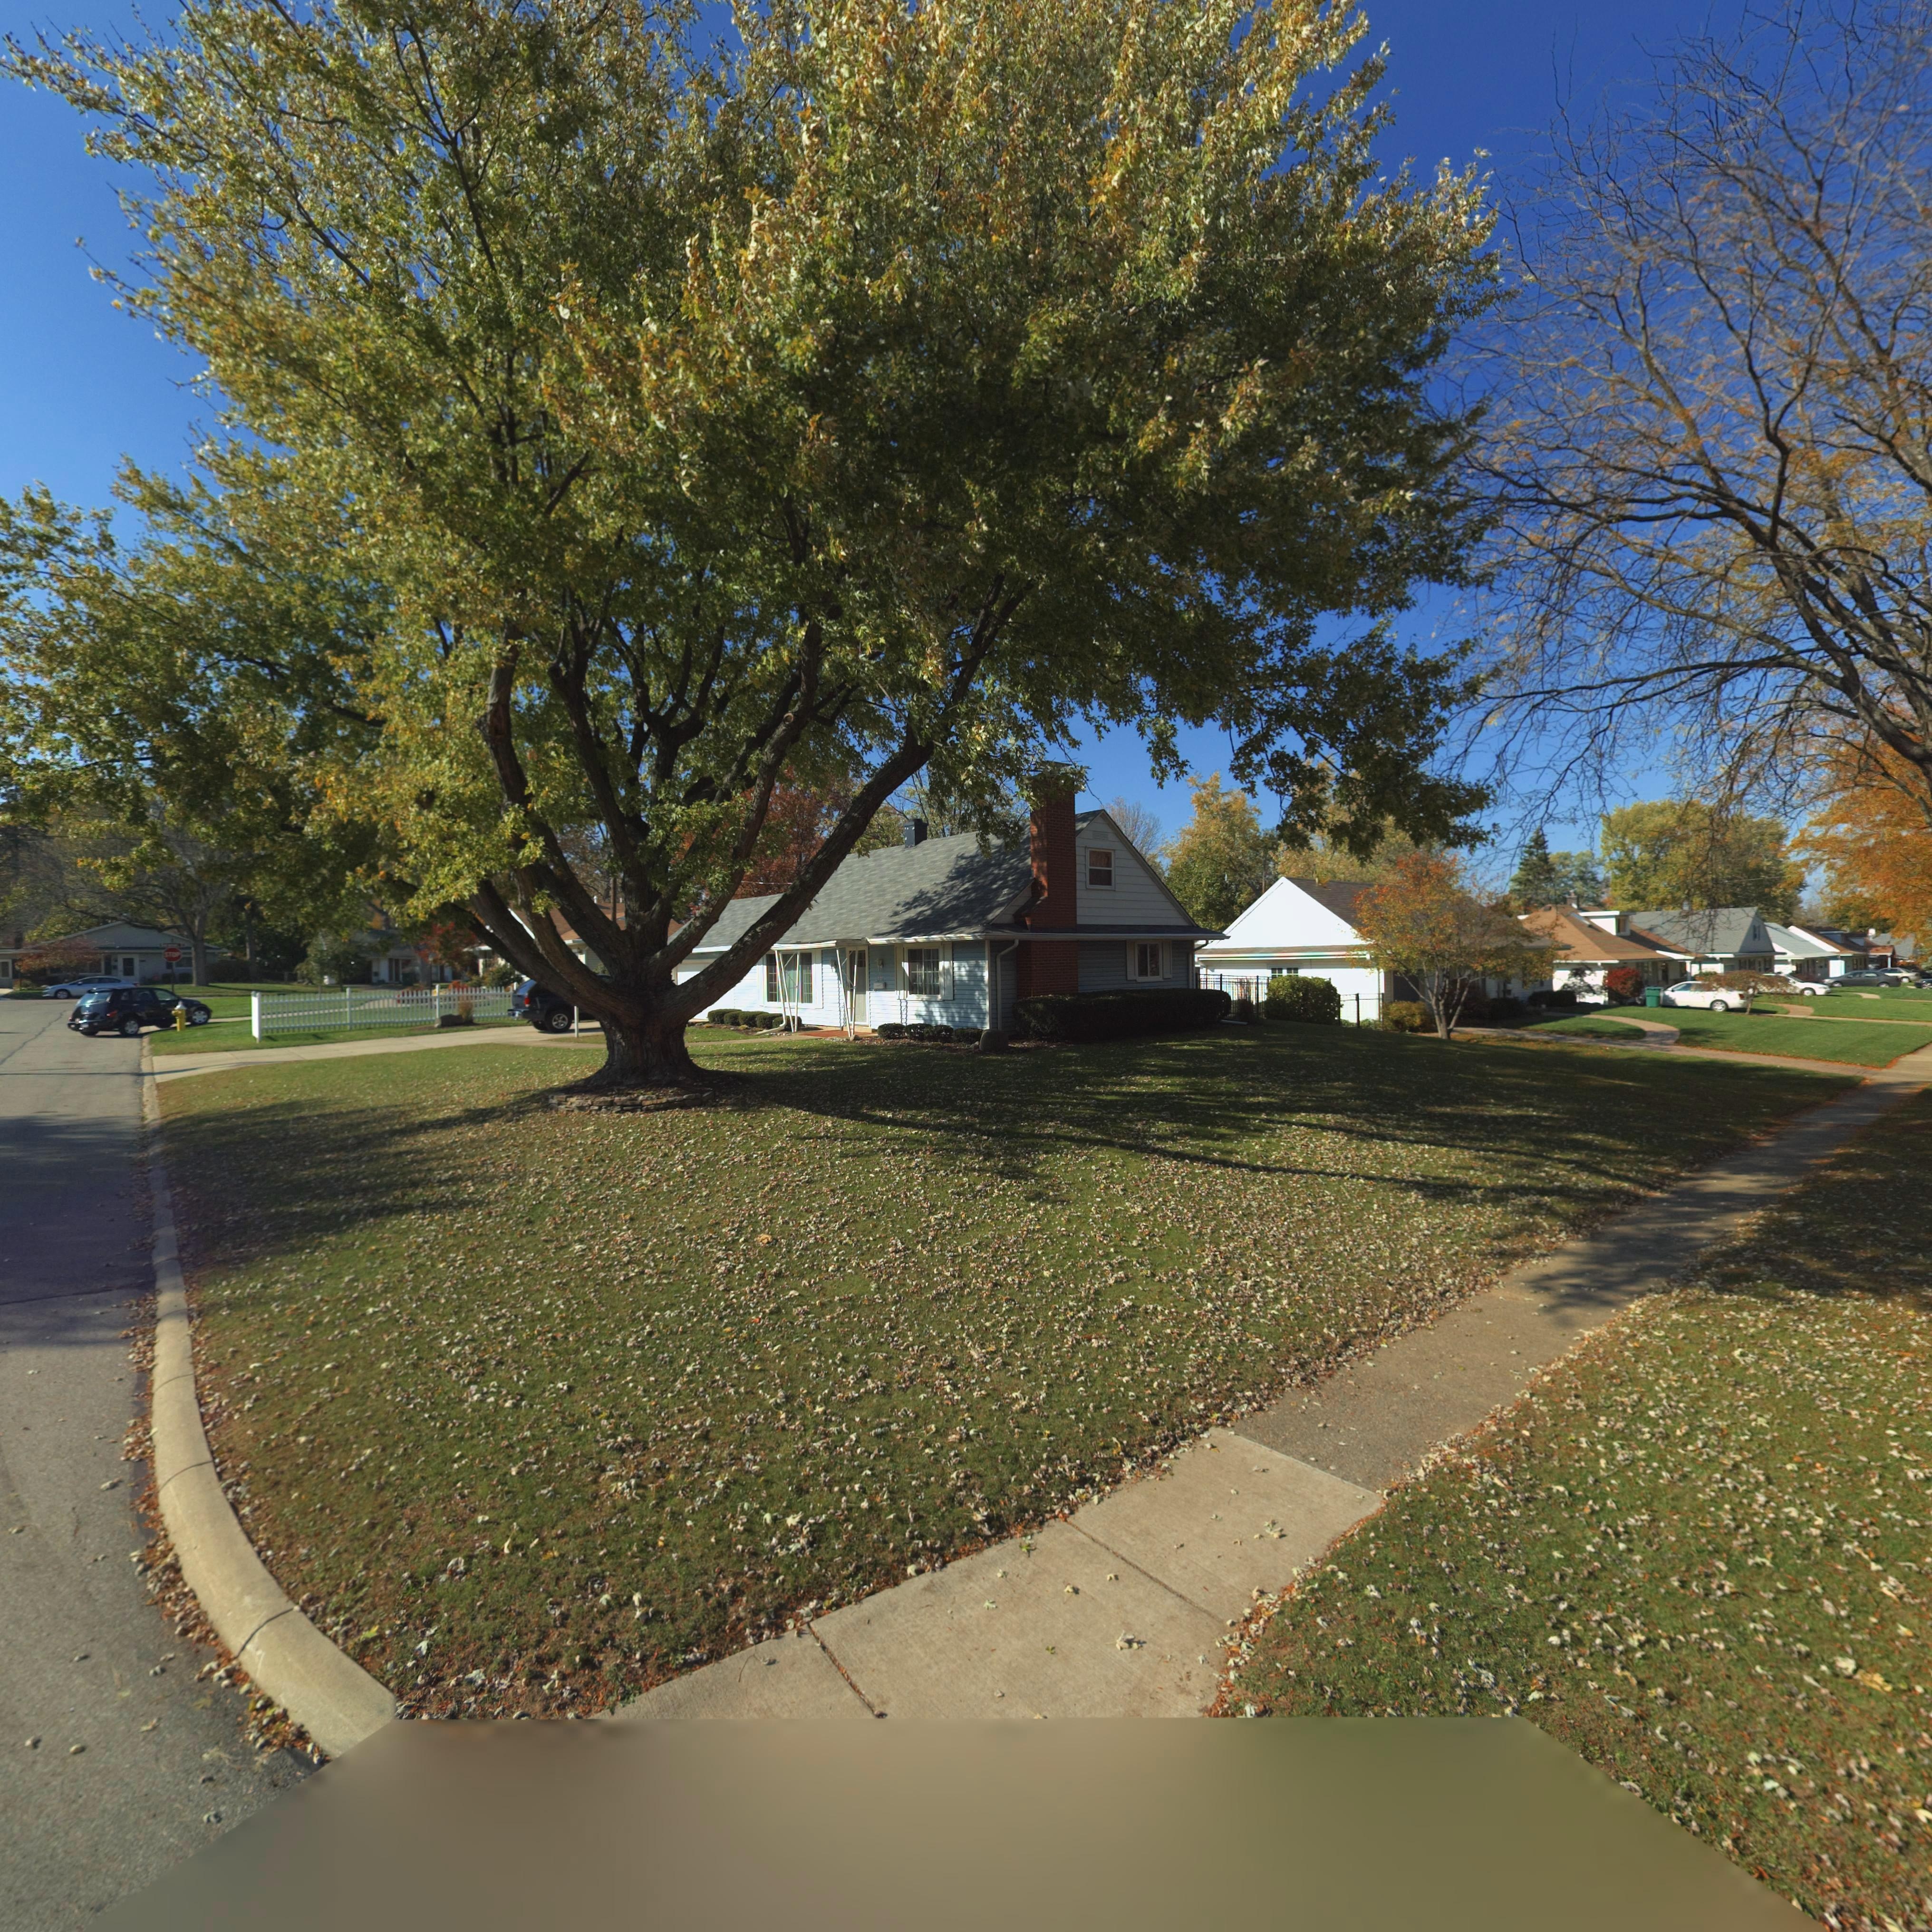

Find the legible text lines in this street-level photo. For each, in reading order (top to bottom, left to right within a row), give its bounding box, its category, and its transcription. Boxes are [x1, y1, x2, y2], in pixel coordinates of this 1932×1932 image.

[164, 952, 181, 957] None: STOP